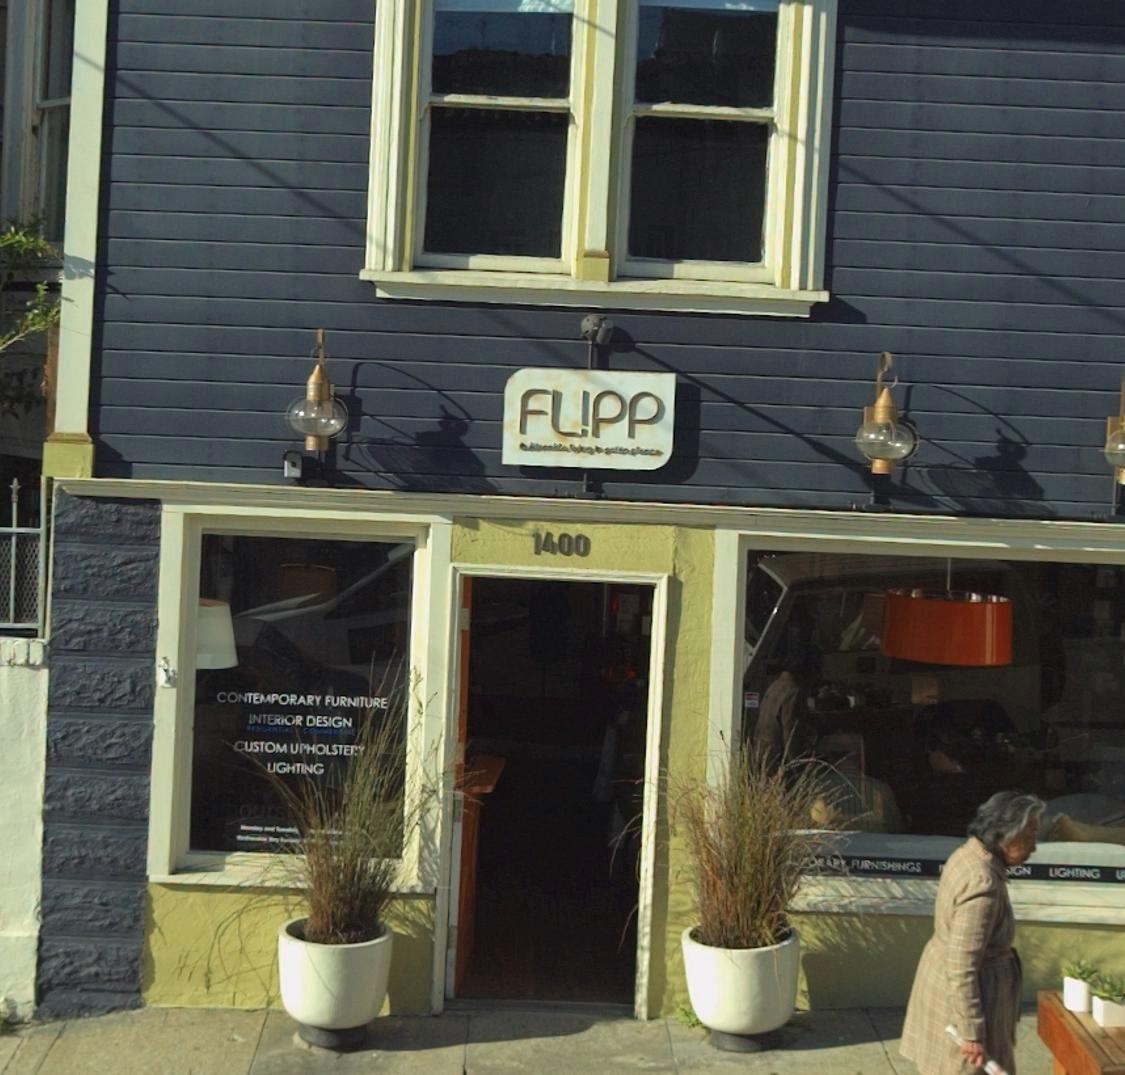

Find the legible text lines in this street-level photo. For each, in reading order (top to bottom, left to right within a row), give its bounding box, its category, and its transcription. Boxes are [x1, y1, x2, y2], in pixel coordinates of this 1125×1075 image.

[517, 388, 663, 440] BusinessName: FLIPP
[530, 531, 591, 559] StreetNumber: 1400
[215, 690, 388, 710] None: CONTEMPORARY FURNITURE
[247, 712, 354, 729] None: INTERIOR DESIGN
[231, 739, 366, 757] None: CUSTOM UPHOLSTERY
[265, 761, 325, 776] None: LIGHTING
[850, 858, 923, 874] None: FURNISHINGS
[1011, 865, 1032, 877] None: GN
[1047, 866, 1101, 880] None: LIGHTING
[1113, 868, 1125, 882] None: U